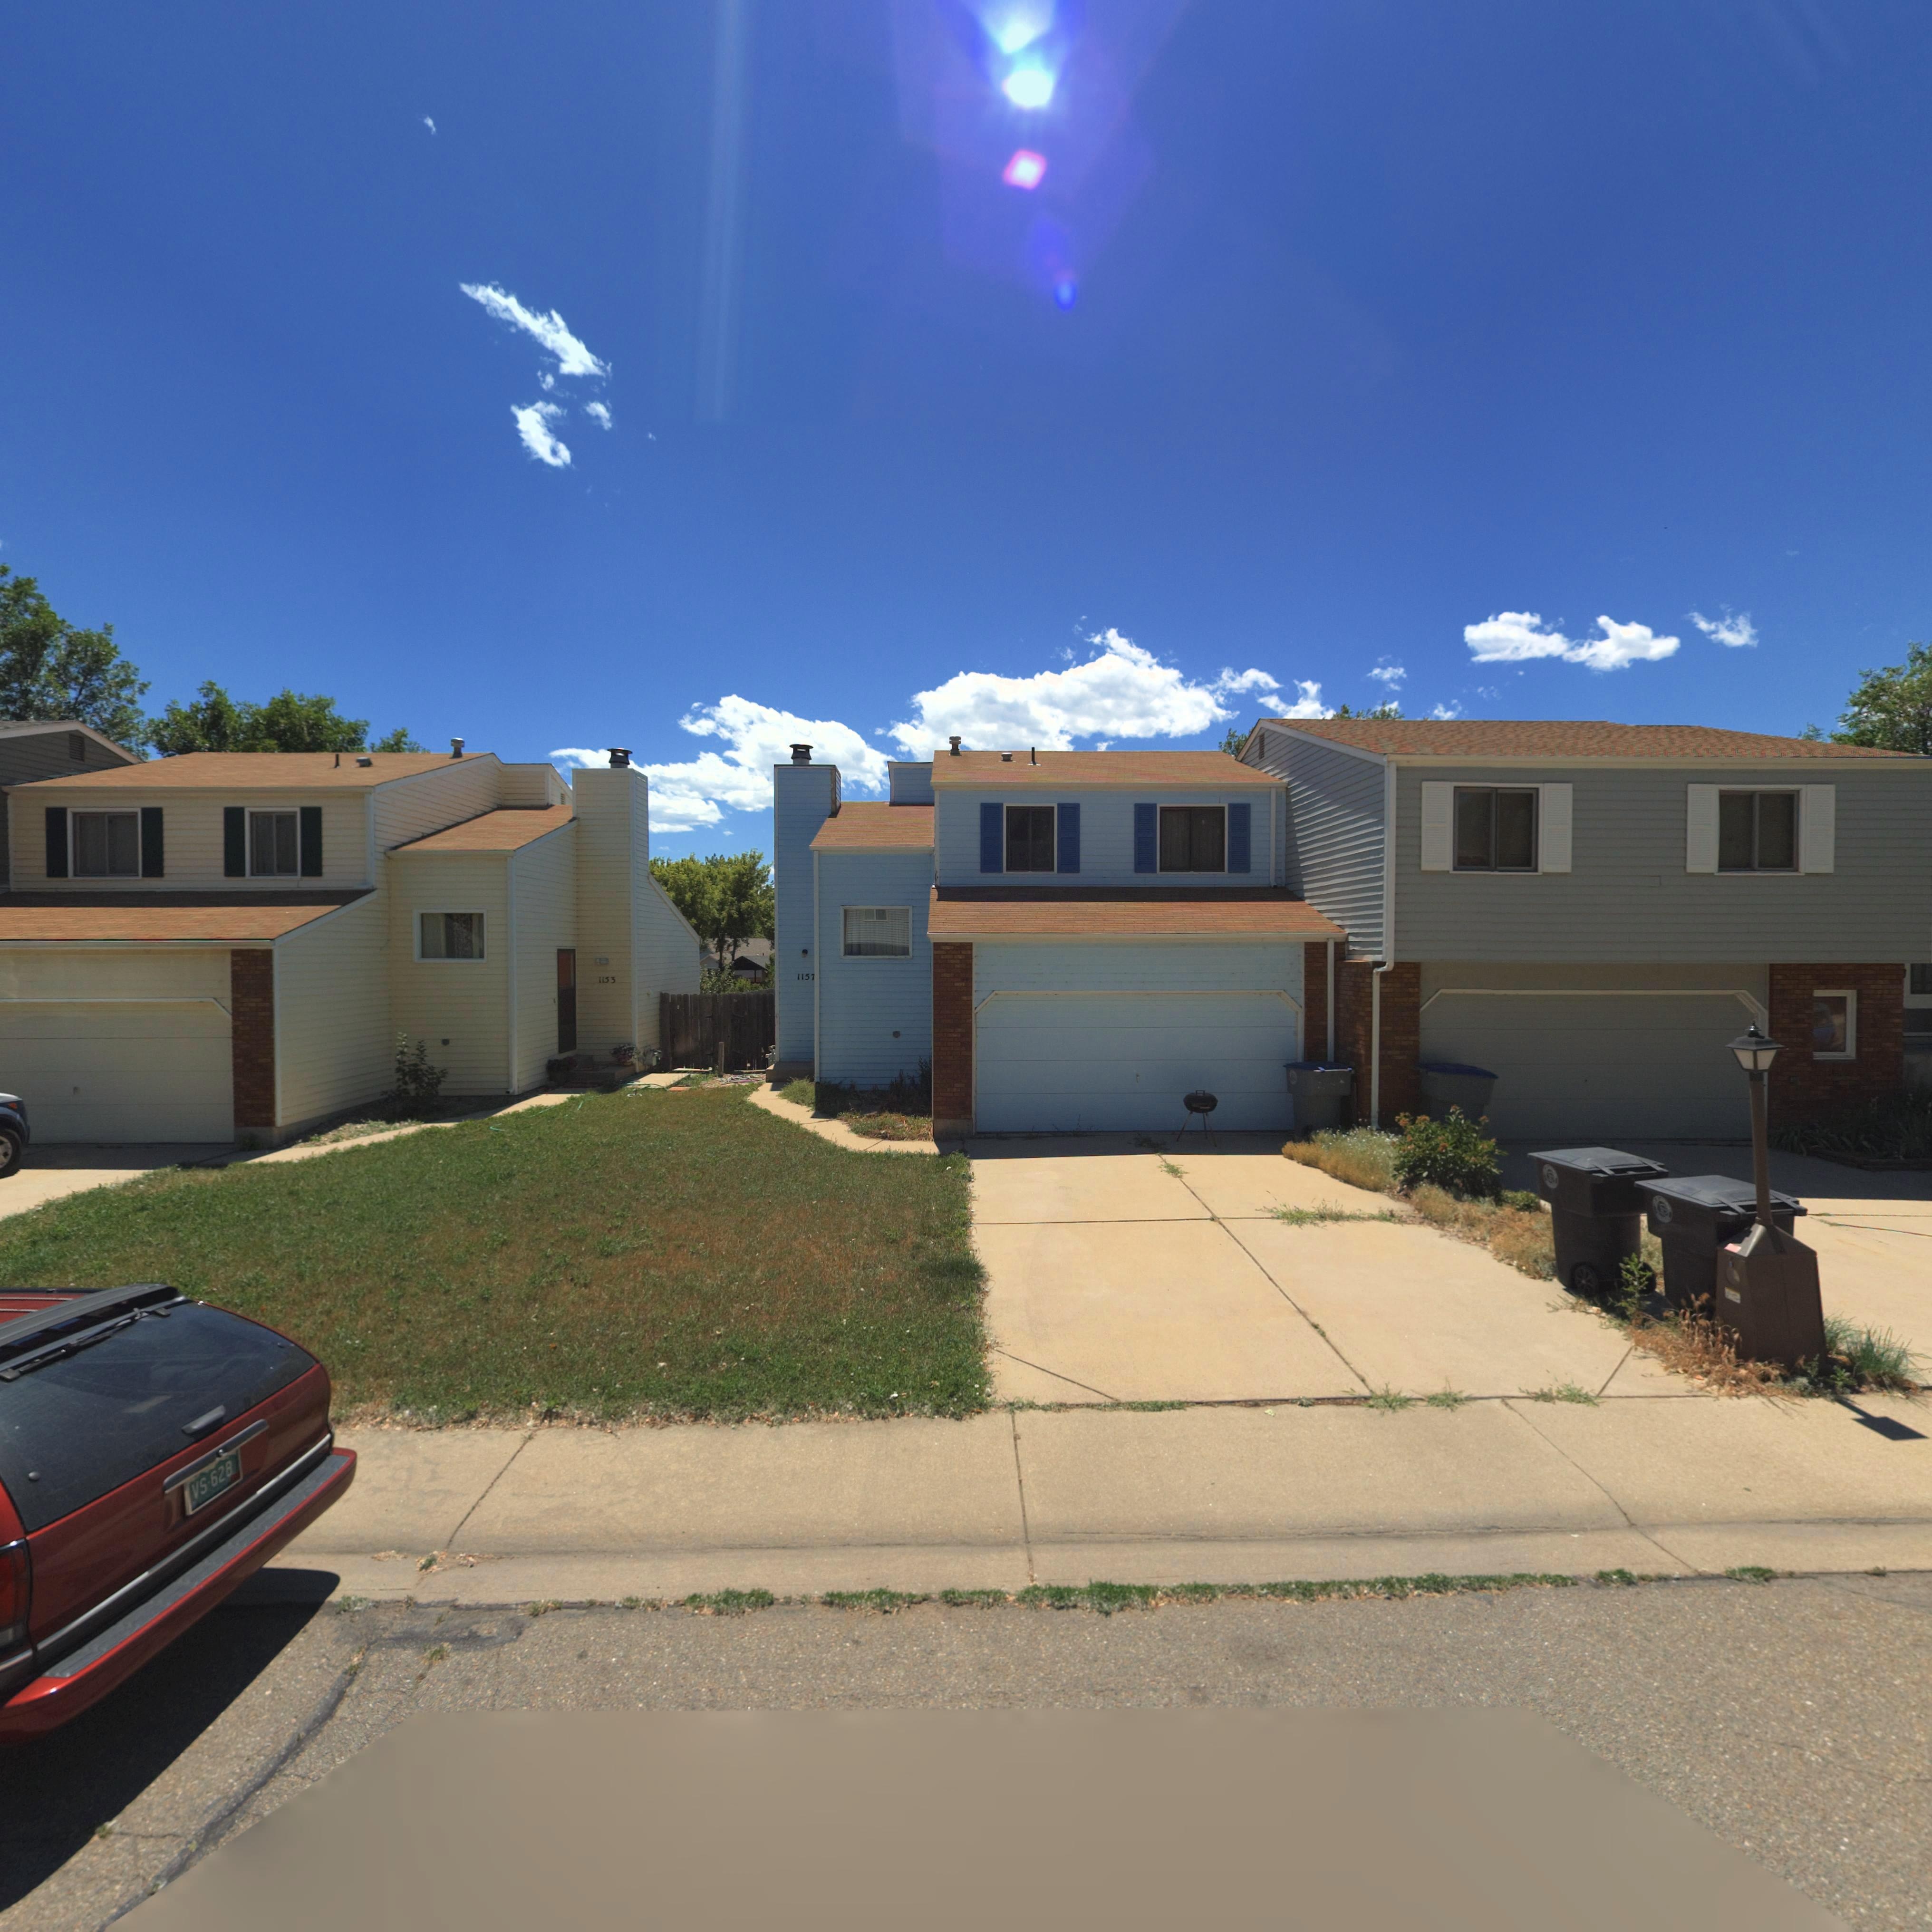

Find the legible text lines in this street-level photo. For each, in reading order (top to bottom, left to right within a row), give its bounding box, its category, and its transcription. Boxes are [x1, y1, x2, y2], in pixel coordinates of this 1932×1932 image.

[598, 976, 616, 984] StreetNumber: 1153
[797, 973, 815, 980] StreetNumber: 1157